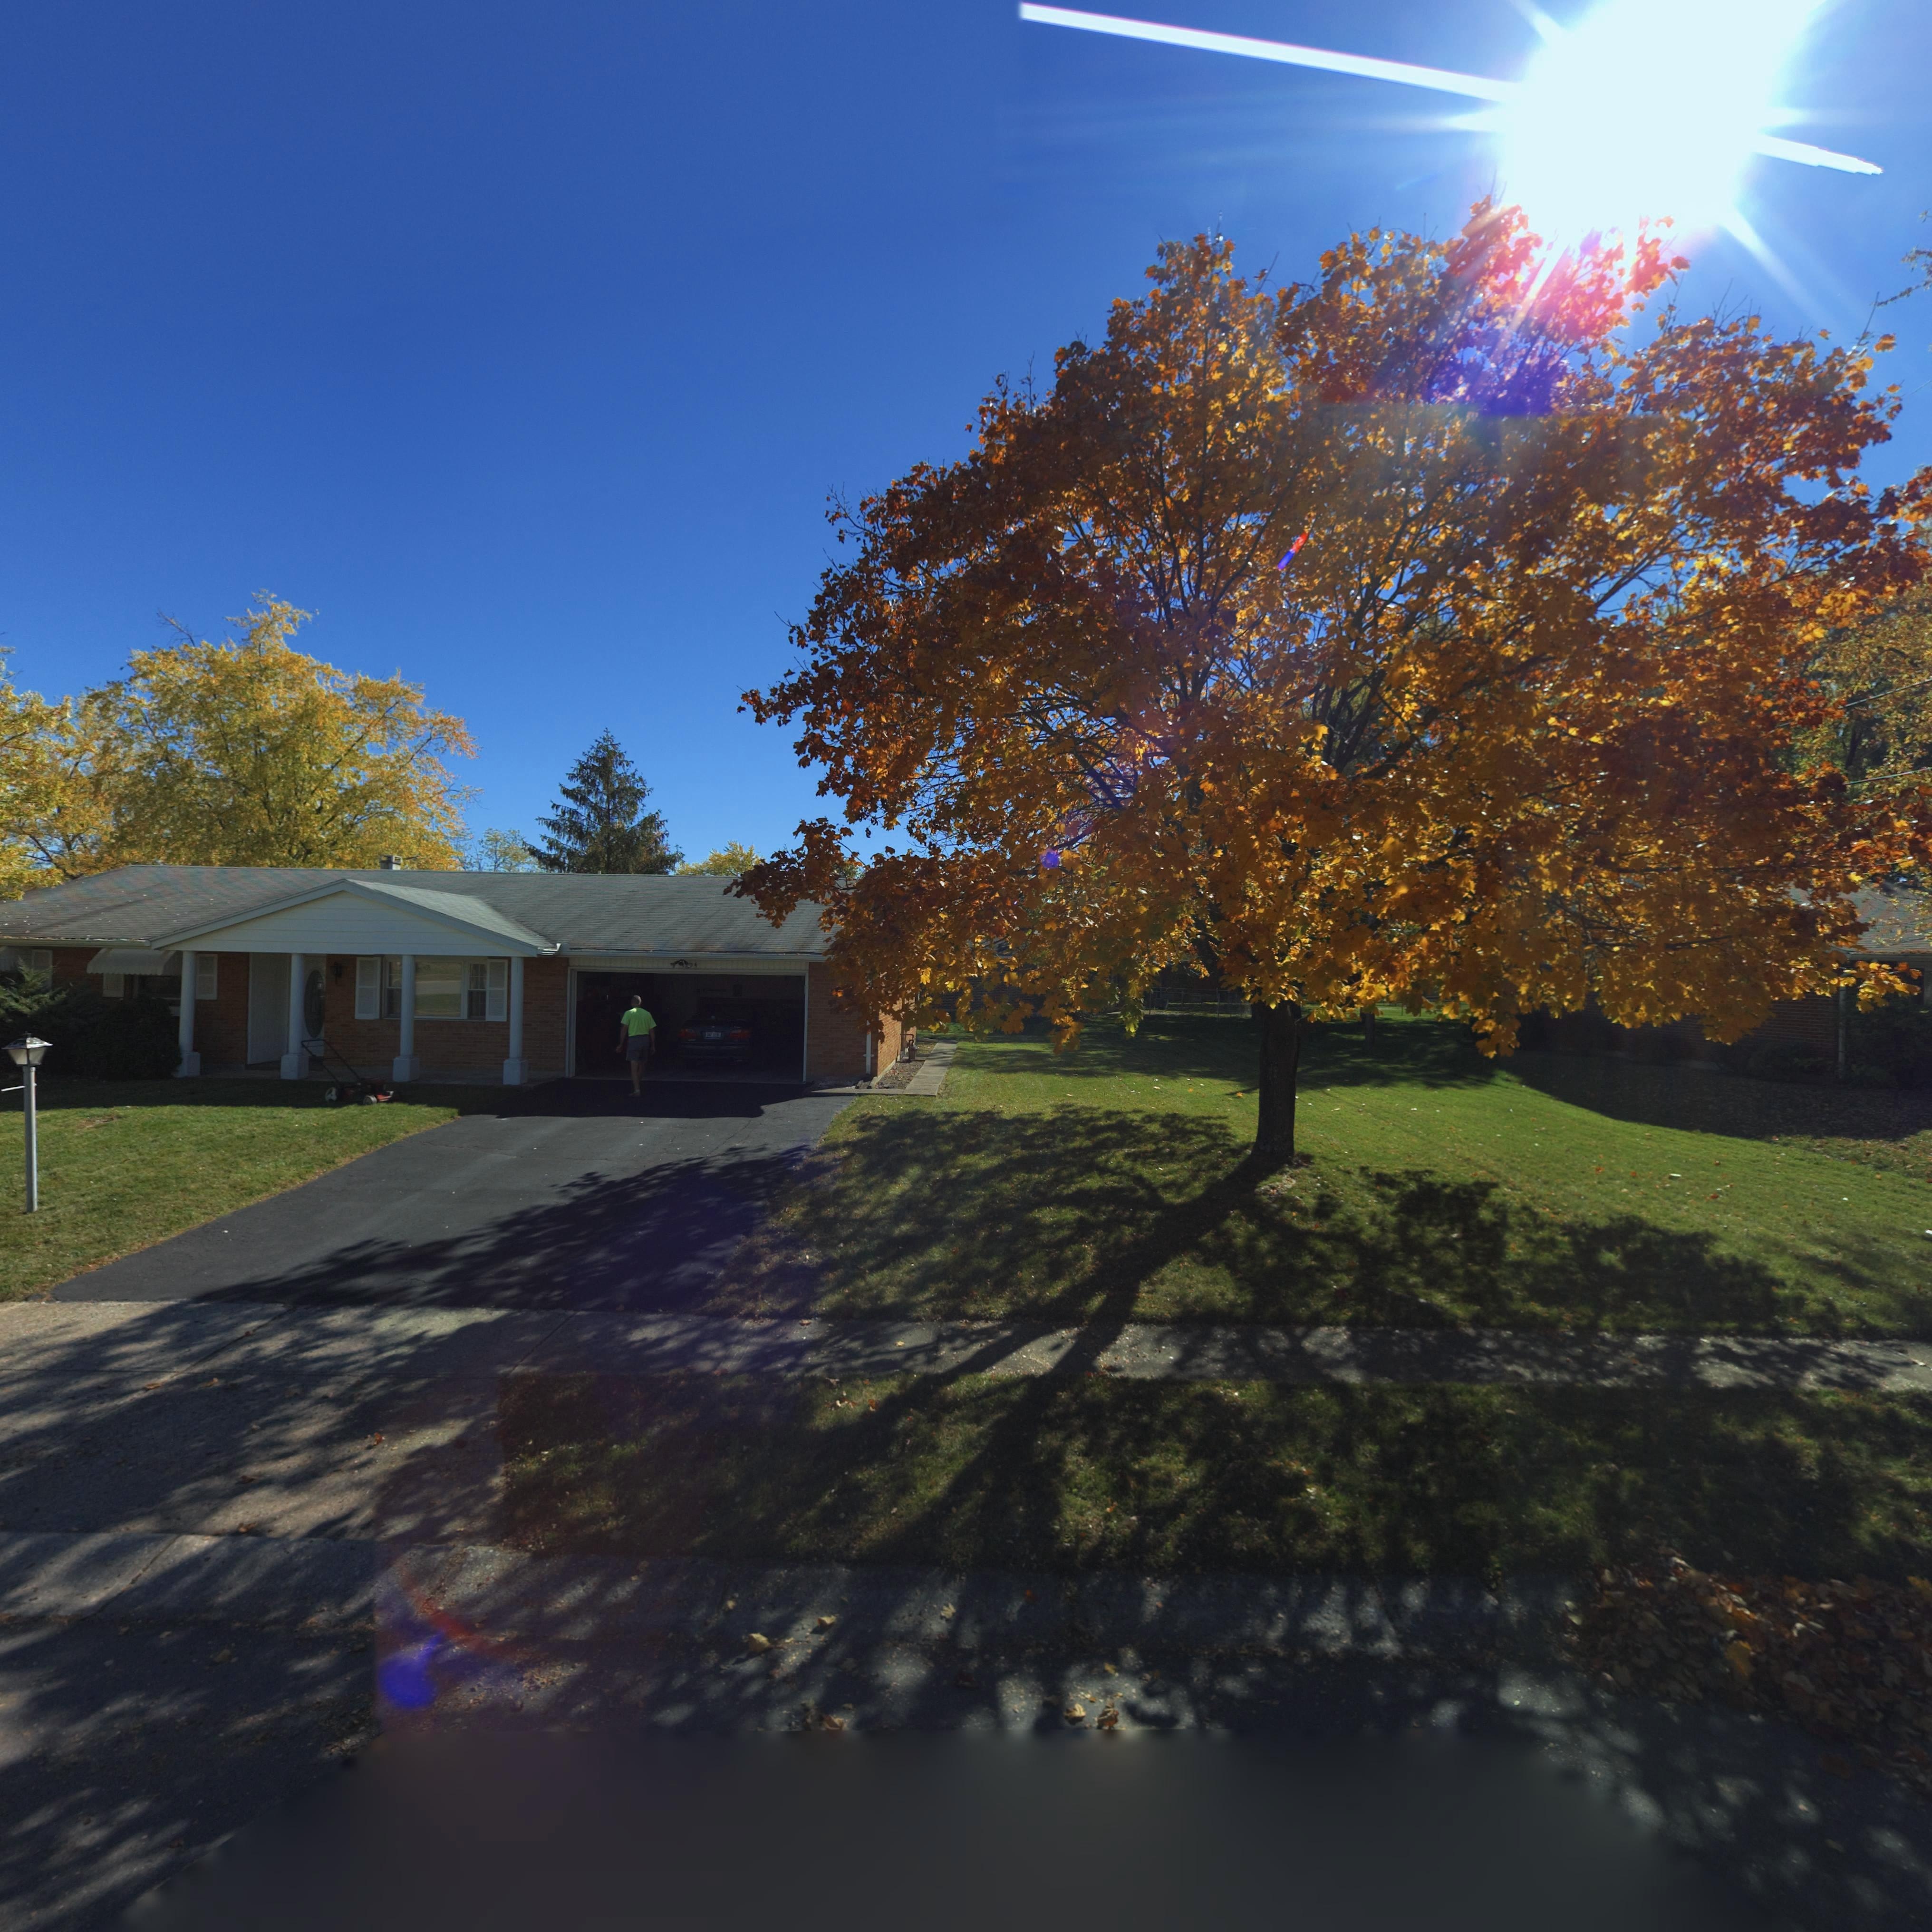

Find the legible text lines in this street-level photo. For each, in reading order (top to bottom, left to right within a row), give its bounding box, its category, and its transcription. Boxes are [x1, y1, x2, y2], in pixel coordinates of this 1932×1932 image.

[694, 962, 697, 968] StreetNumber: 4